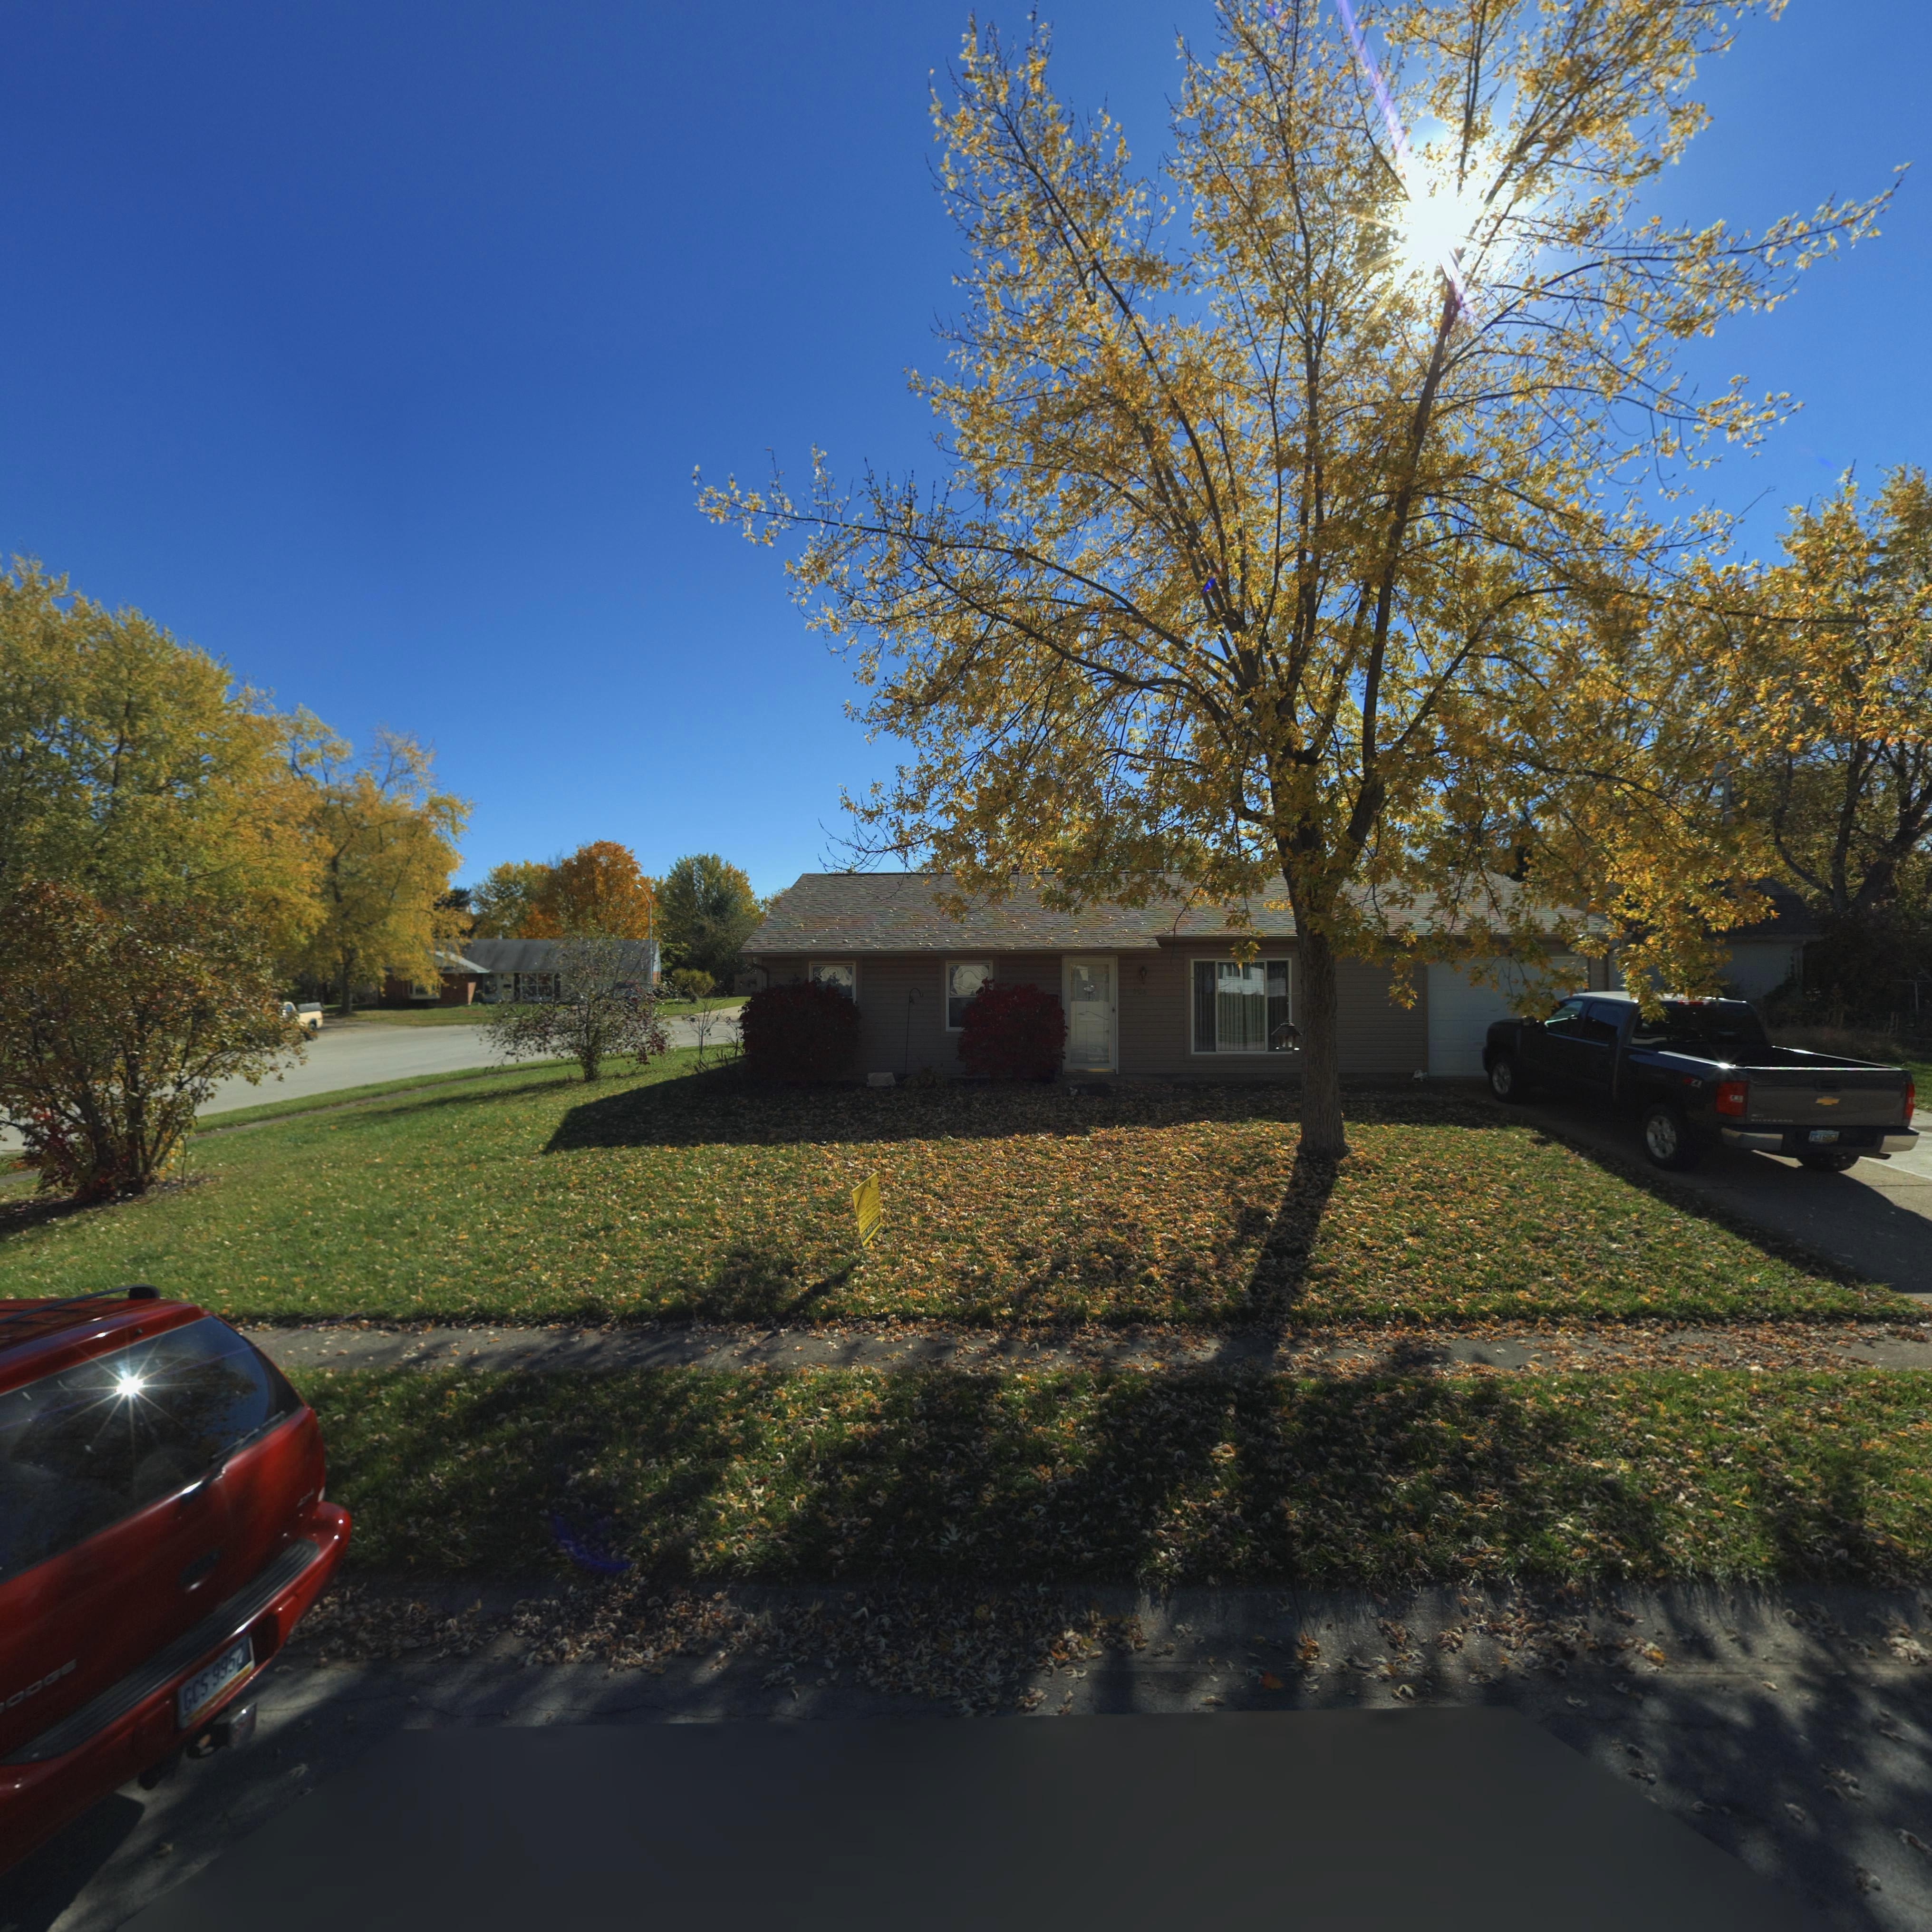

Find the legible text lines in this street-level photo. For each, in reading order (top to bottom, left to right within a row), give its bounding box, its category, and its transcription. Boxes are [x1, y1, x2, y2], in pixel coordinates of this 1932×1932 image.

[1132, 986, 1148, 996] StreetNumber: 50*